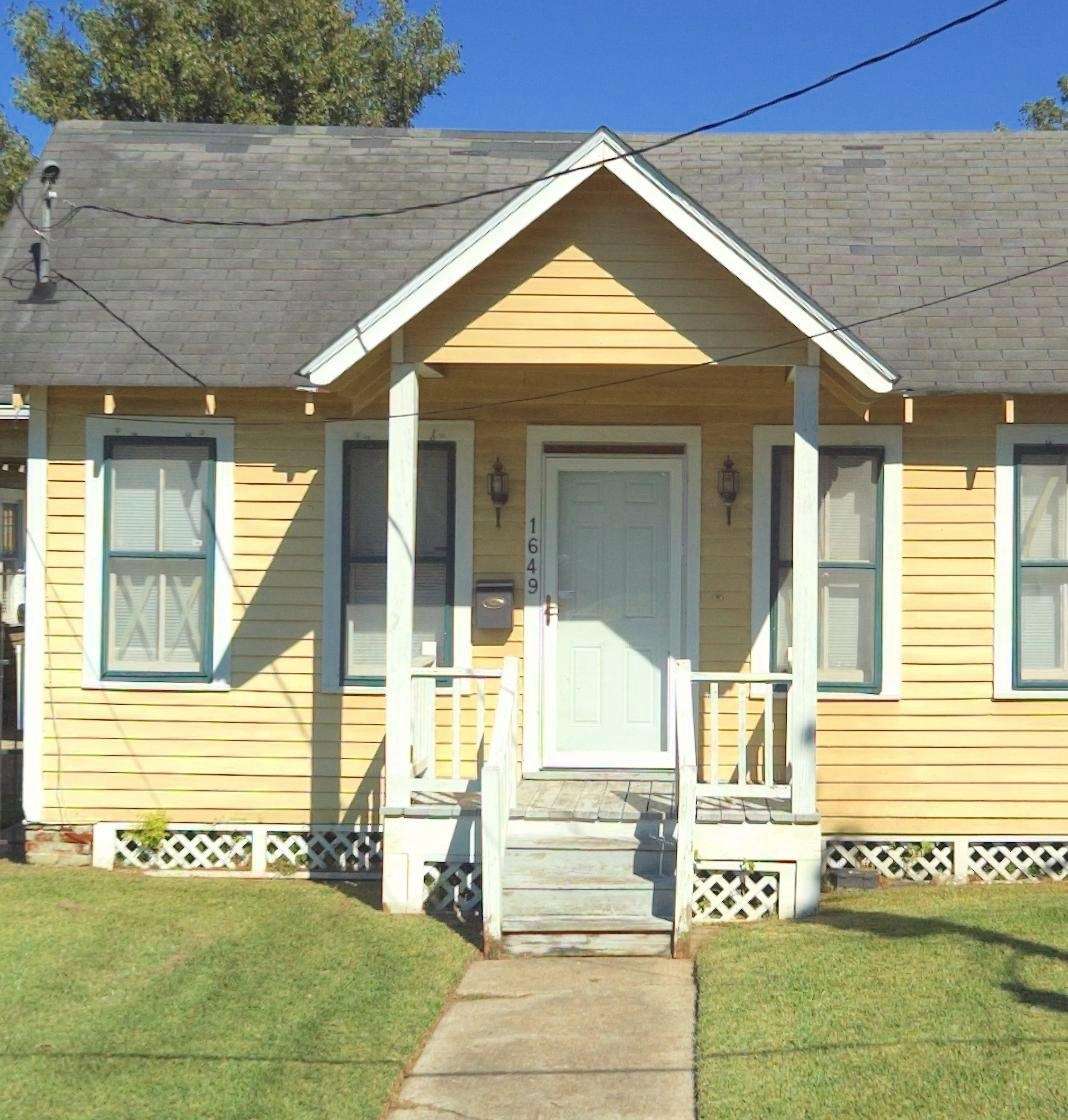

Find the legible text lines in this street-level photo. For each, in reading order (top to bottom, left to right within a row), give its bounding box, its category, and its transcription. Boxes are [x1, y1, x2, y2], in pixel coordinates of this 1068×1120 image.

[523, 515, 540, 597] StreetNumber: 1649